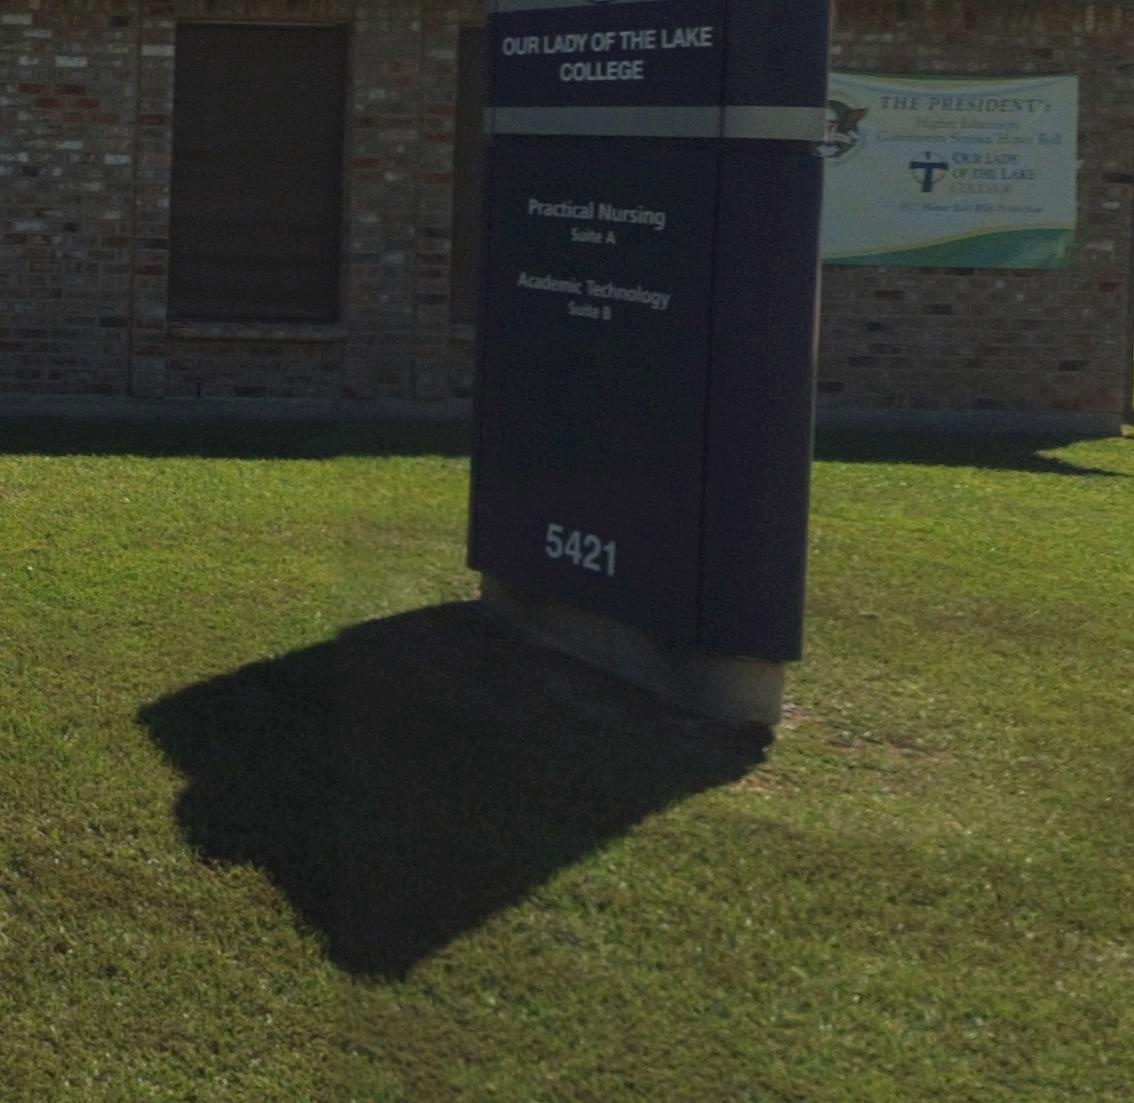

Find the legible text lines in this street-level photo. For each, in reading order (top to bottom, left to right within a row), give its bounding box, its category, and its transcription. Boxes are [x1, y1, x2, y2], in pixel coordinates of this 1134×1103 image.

[499, 23, 716, 60] BusinessName: OUR LADY OF THE LAKE
[556, 56, 647, 85] BusinessName: COLLEGE
[877, 93, 1055, 115] None: THE PRESIDENT's
[949, 149, 1024, 166] BusinessName: OUR LAD*
[950, 166, 1038, 182] BusinessName: OF THE LAKE
[526, 195, 669, 234] None: Practical Nursing
[566, 224, 620, 248] SecondaryUnitDesignator: Suite A
[513, 267, 675, 314] None: Academic Technology
[564, 297, 614, 324] SecondaryUnitDesignator: Suite B
[541, 517, 619, 582] StreetNumber: 5421